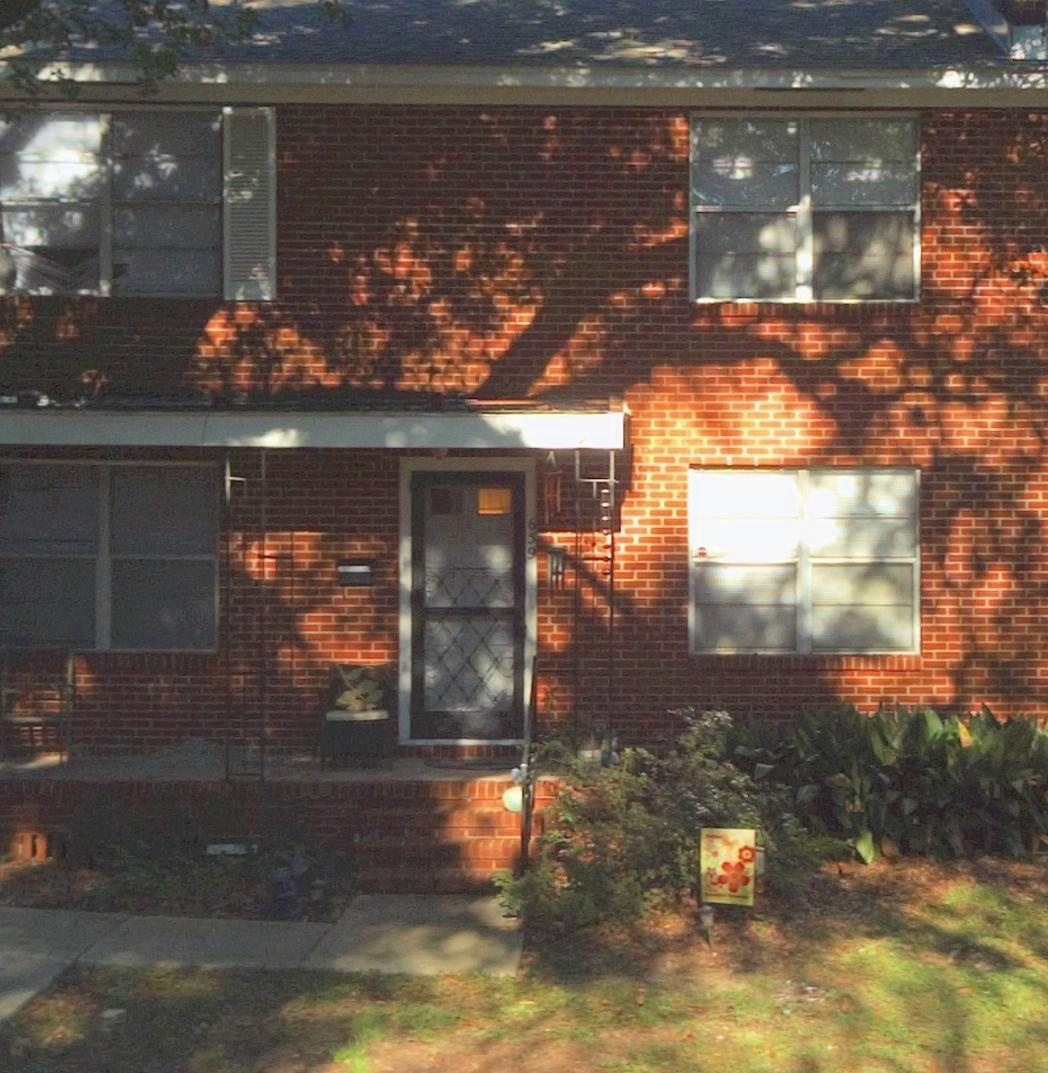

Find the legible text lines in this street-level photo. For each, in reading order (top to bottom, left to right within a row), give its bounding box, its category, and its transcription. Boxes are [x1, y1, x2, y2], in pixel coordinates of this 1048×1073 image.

[525, 513, 538, 562] StreetNumber: 659